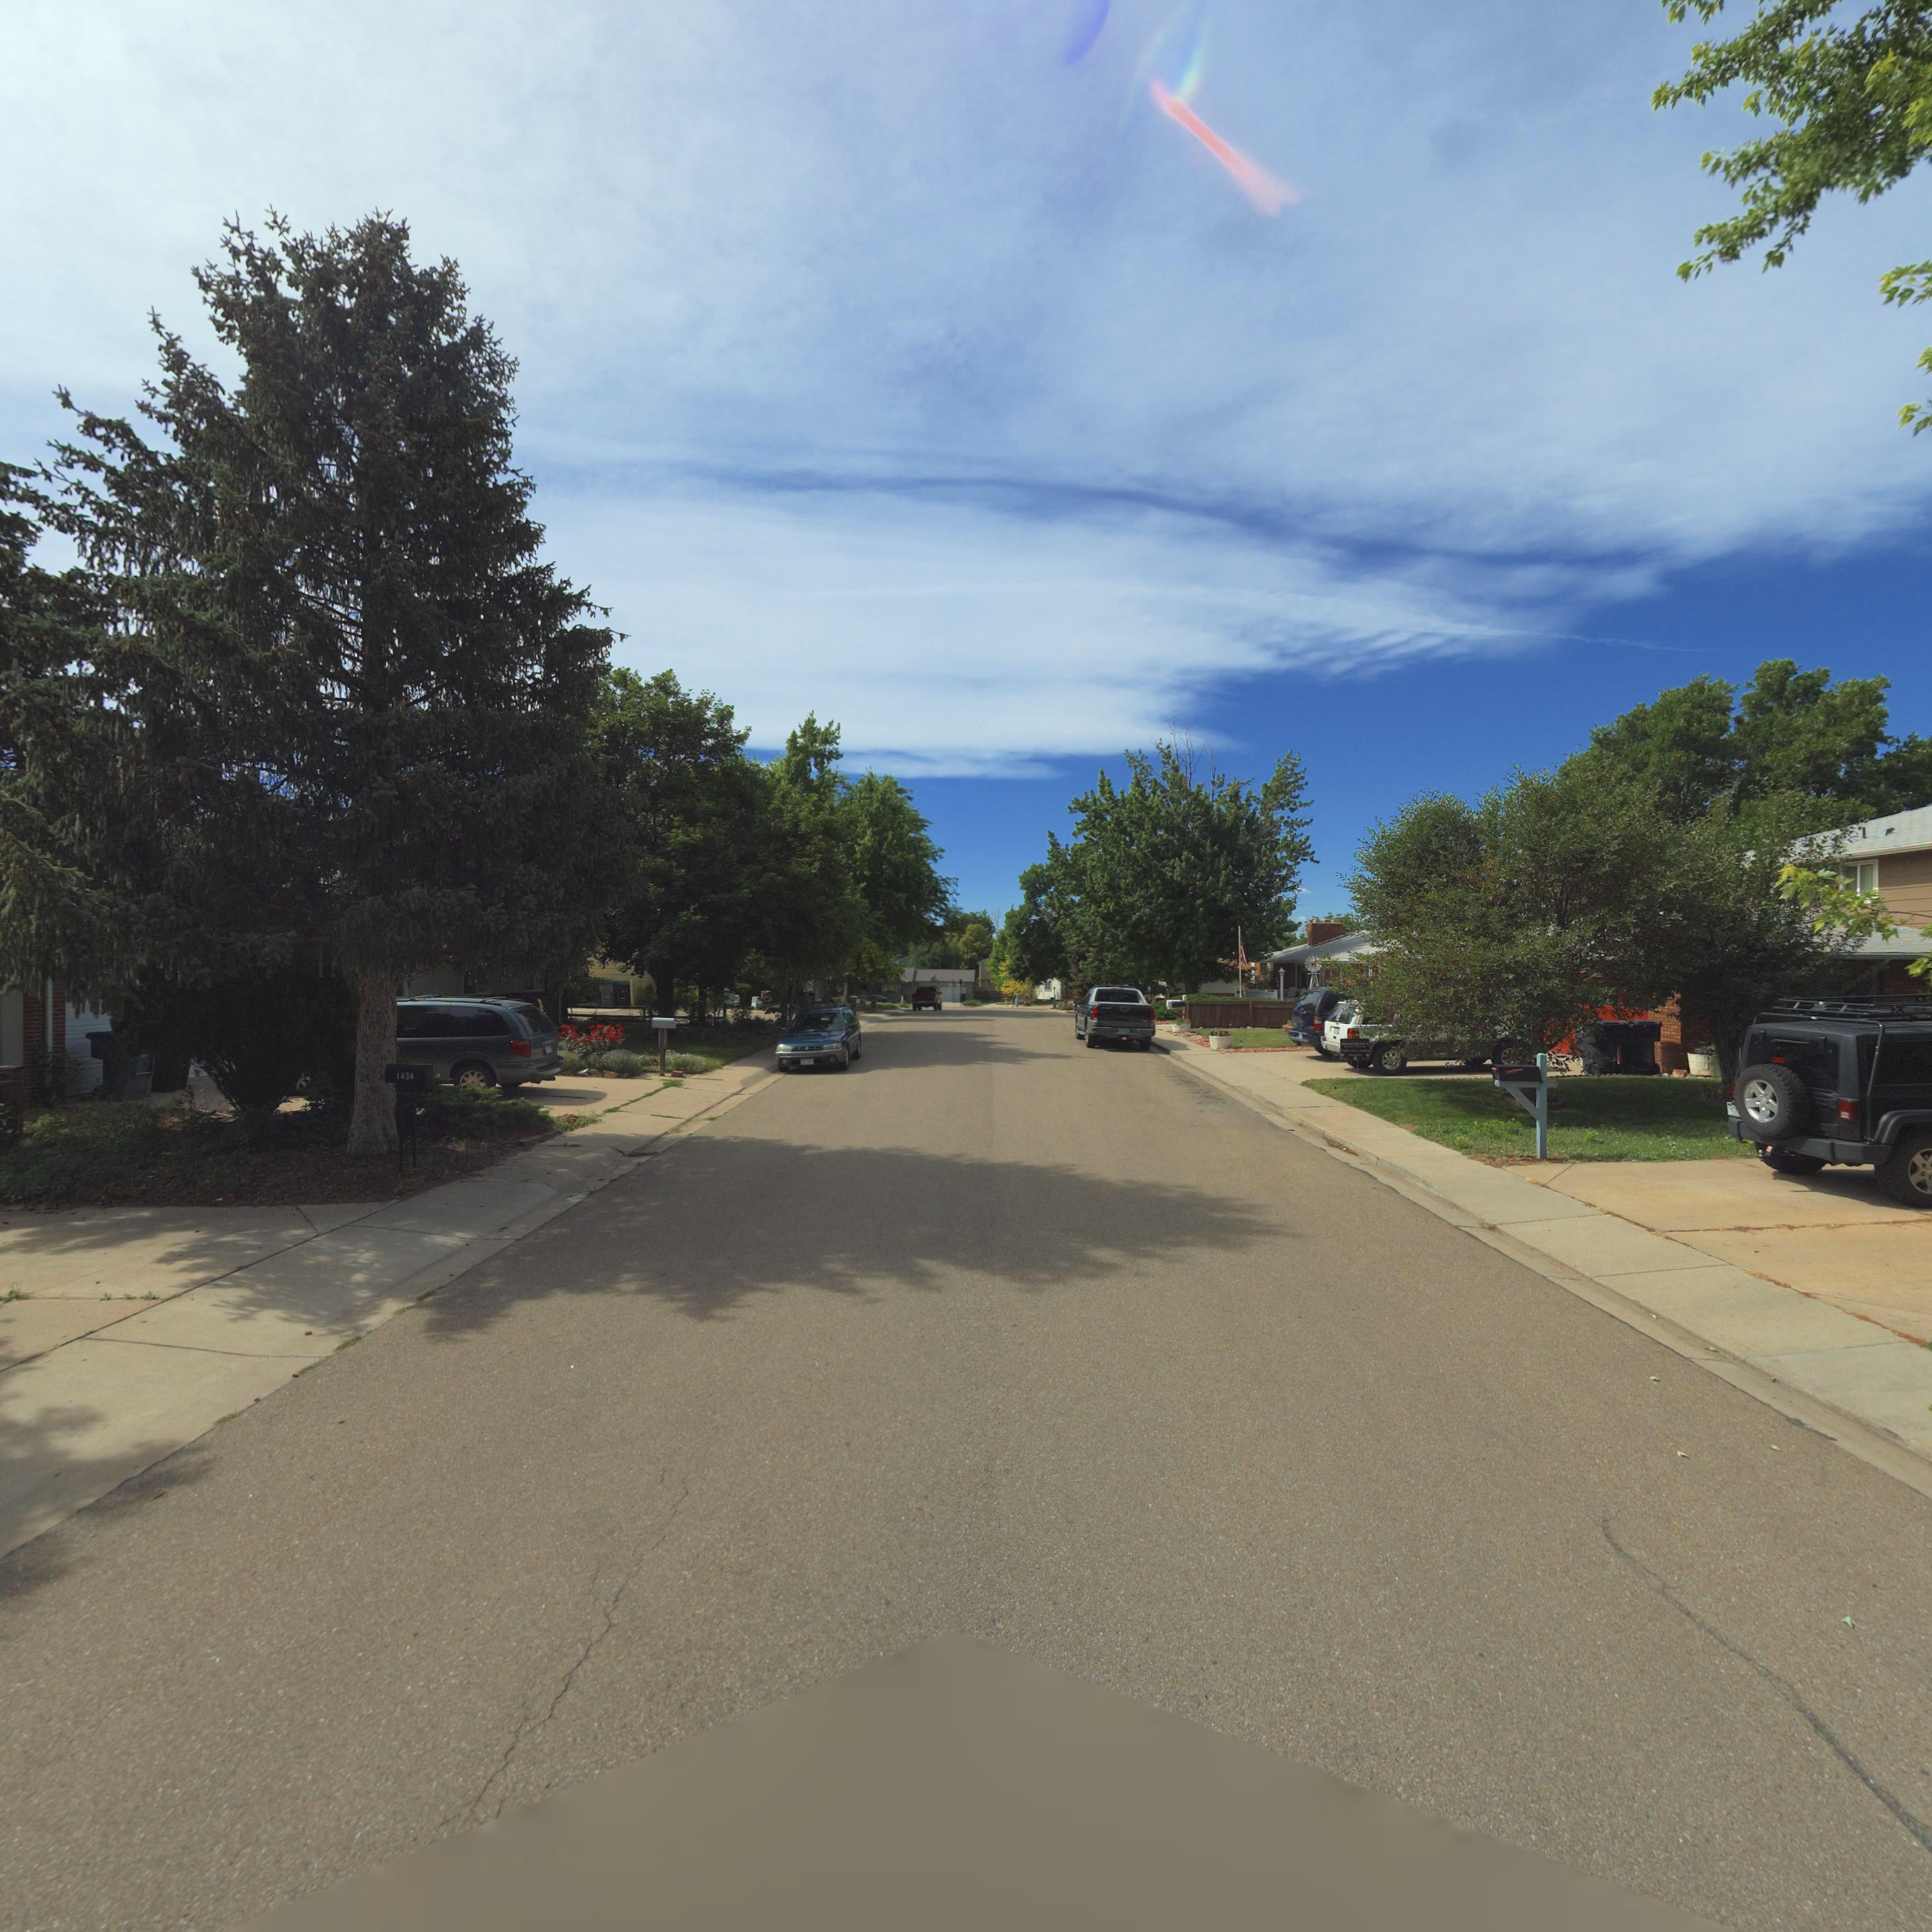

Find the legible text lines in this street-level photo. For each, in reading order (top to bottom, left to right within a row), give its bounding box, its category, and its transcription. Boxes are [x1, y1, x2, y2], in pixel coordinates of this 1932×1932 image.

[396, 1072, 414, 1081] StreetNumber: 1434